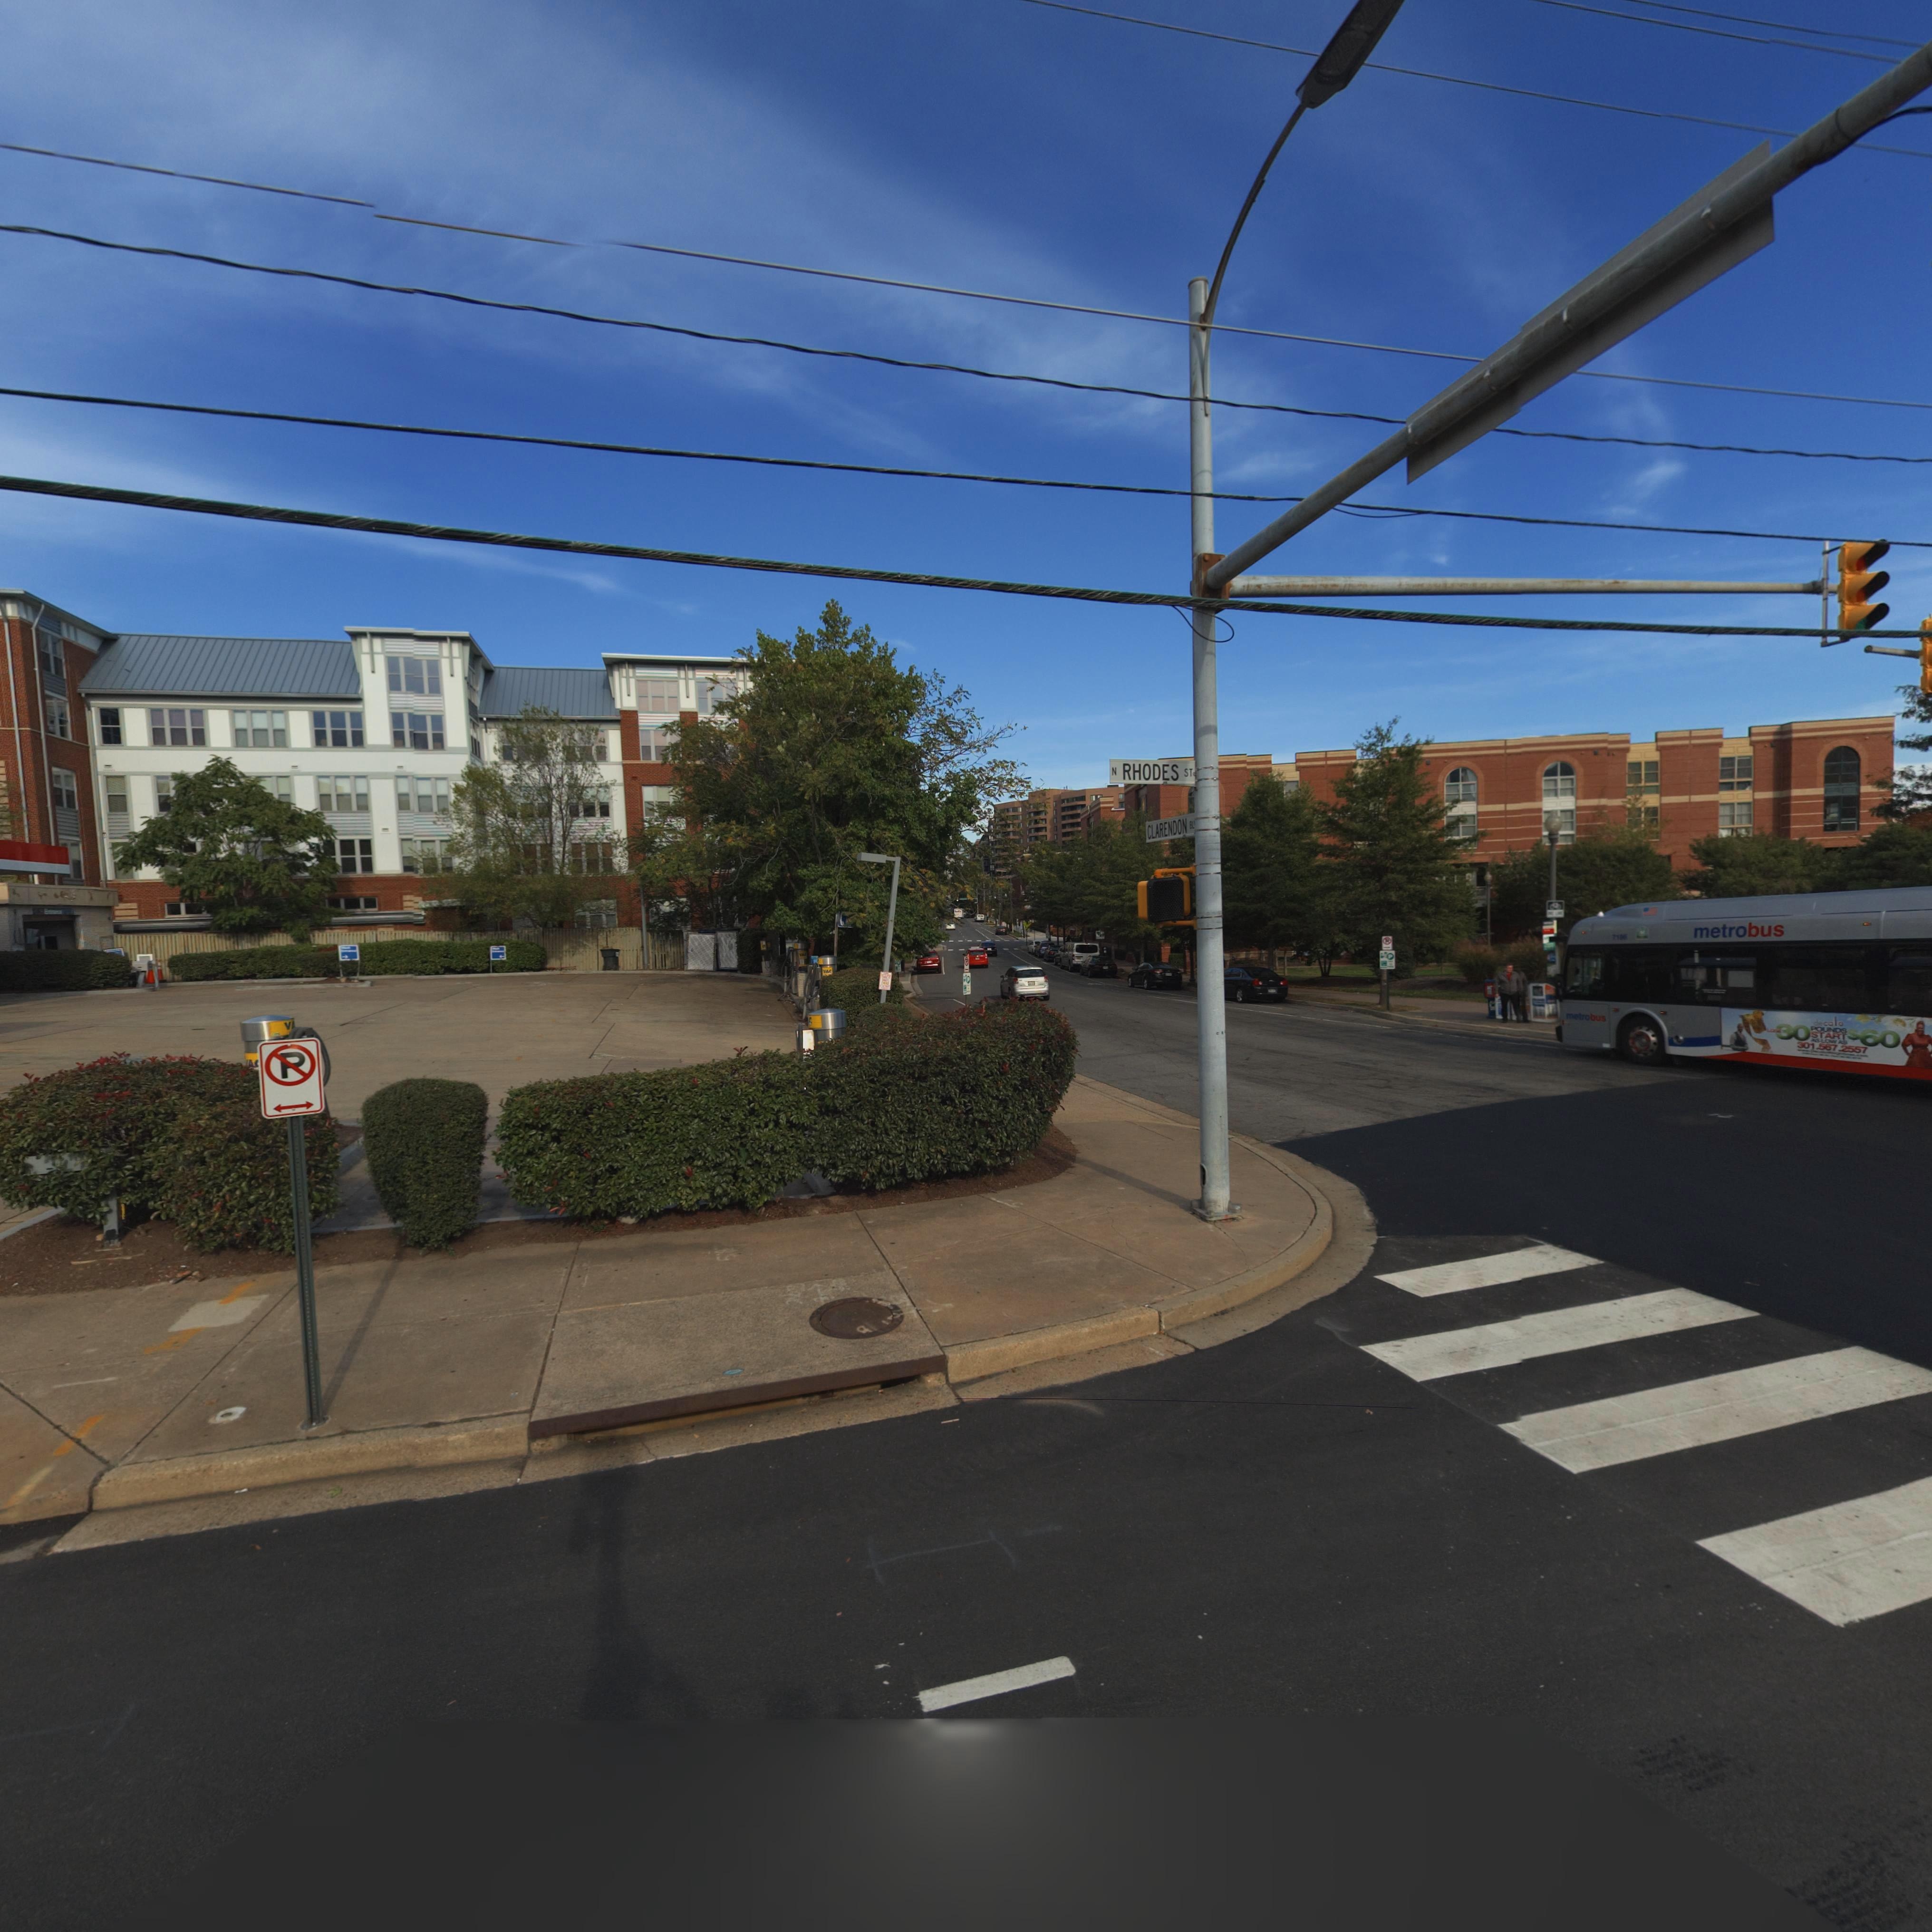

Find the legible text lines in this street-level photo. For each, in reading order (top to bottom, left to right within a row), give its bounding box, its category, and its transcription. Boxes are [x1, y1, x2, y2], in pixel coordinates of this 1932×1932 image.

[1111, 762, 1194, 783] StreetName: N RHODES ST
[1146, 816, 1188, 841] StreetName: CLARENDON
[1692, 921, 1787, 940] None: metrobus
[1387, 953, 1394, 960] None: P
[1565, 1011, 1608, 1024] None: metrobus
[1774, 1022, 1811, 1042] None: 30
[1811, 1031, 1847, 1042] None: START
[1810, 1025, 1848, 1034] None: POUNDS
[1797, 1041, 1870, 1055] None: 301.567.2557
[1857, 1028, 1902, 1050] None: 60